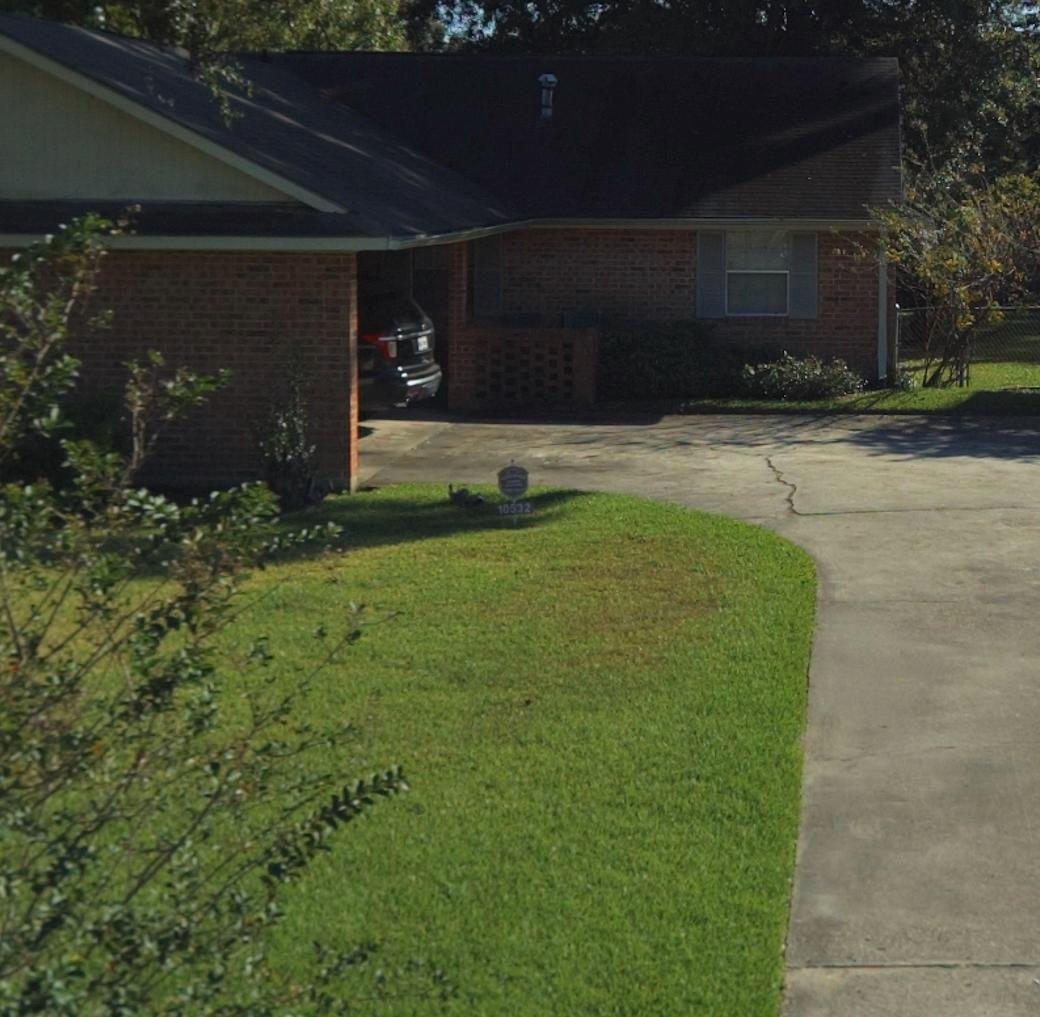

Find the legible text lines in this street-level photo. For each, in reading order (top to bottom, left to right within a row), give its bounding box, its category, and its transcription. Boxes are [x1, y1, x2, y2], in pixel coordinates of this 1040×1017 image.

[497, 502, 531, 515] StreetNumber: 10532